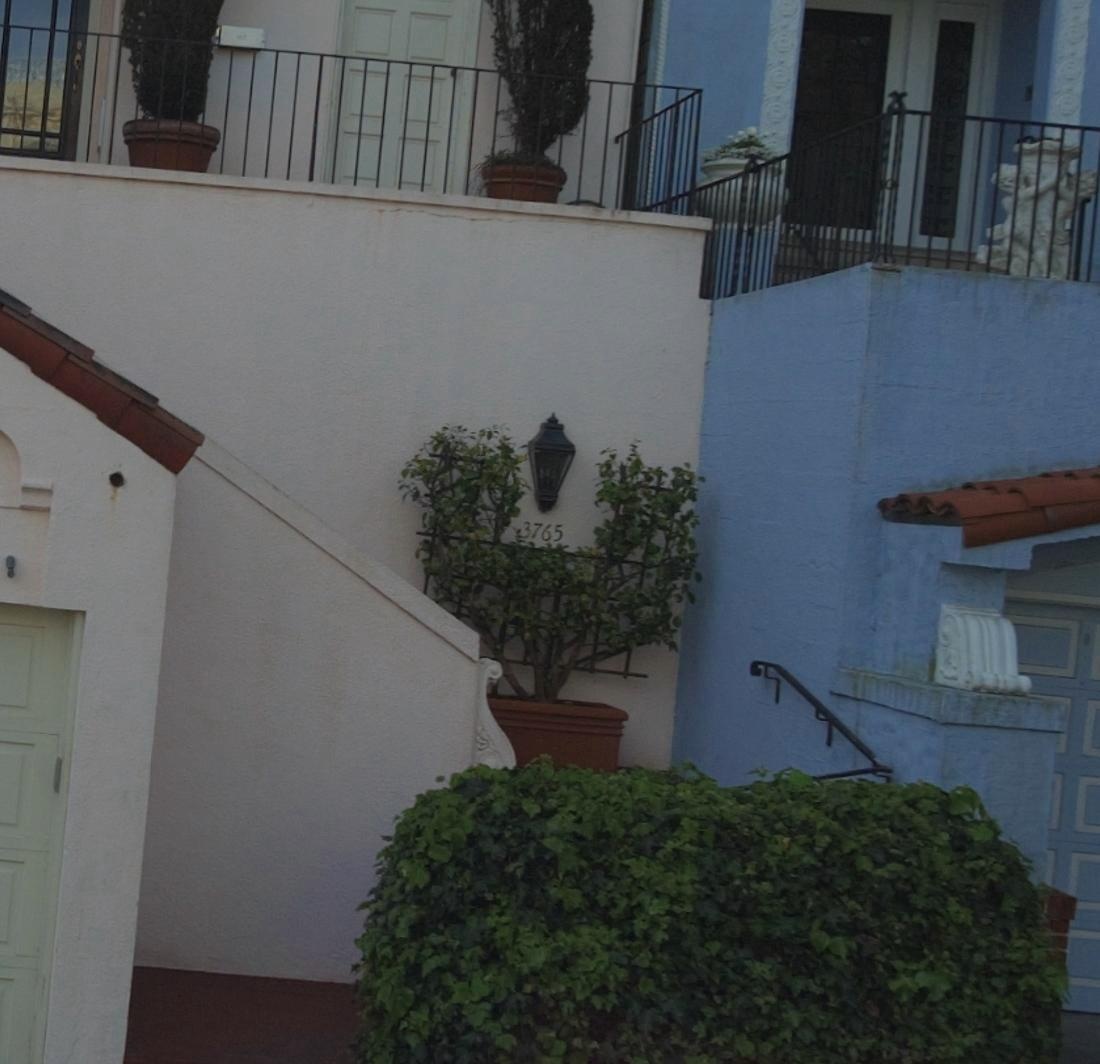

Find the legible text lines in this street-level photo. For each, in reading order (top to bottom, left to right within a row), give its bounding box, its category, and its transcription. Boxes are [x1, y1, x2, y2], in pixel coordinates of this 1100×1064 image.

[517, 518, 568, 545] StreetNumber: 3765